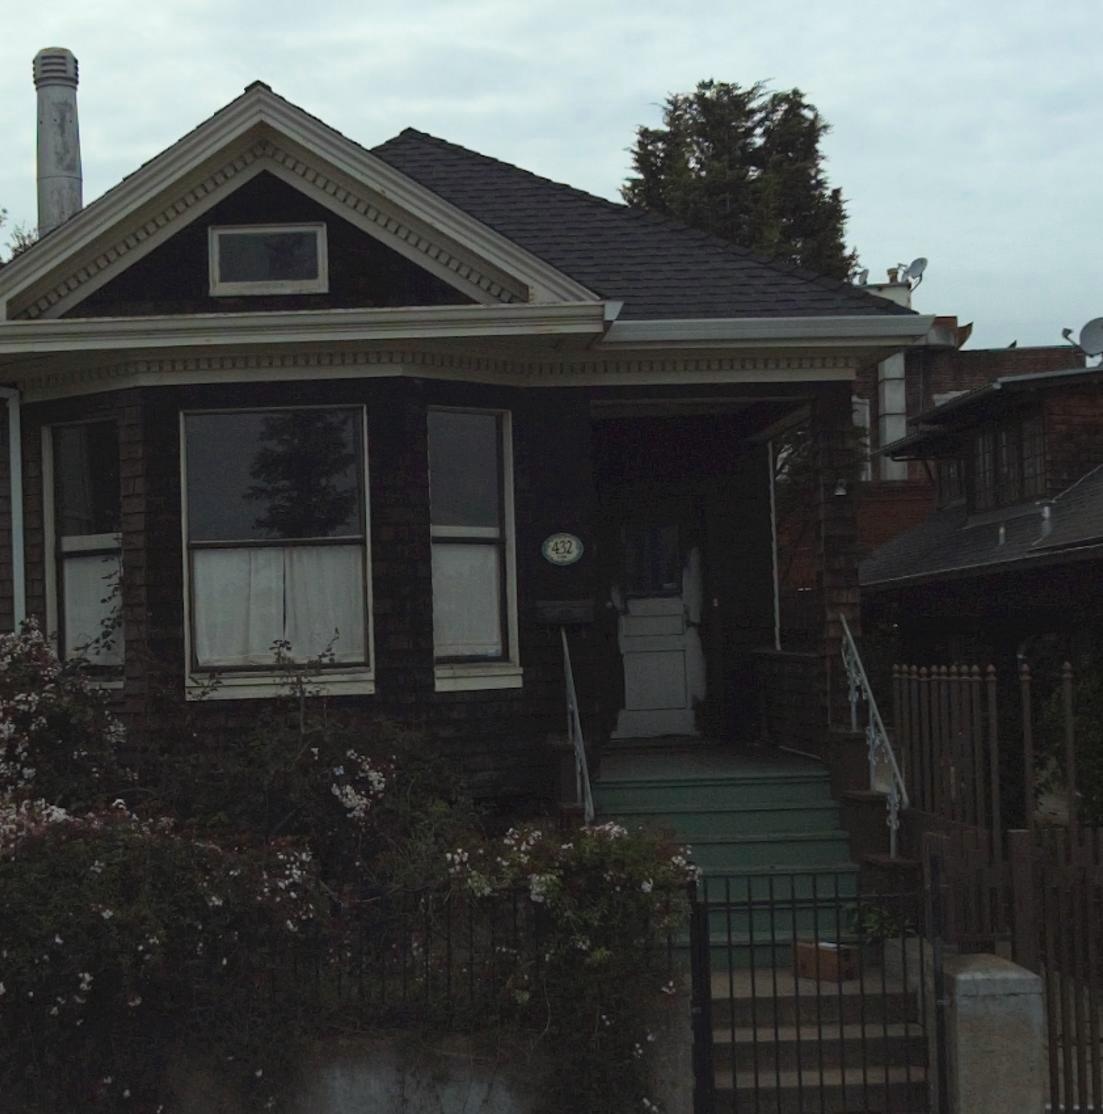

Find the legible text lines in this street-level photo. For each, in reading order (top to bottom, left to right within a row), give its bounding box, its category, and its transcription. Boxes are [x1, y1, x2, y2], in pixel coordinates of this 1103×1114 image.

[551, 539, 574, 555] StreetNumber: 432